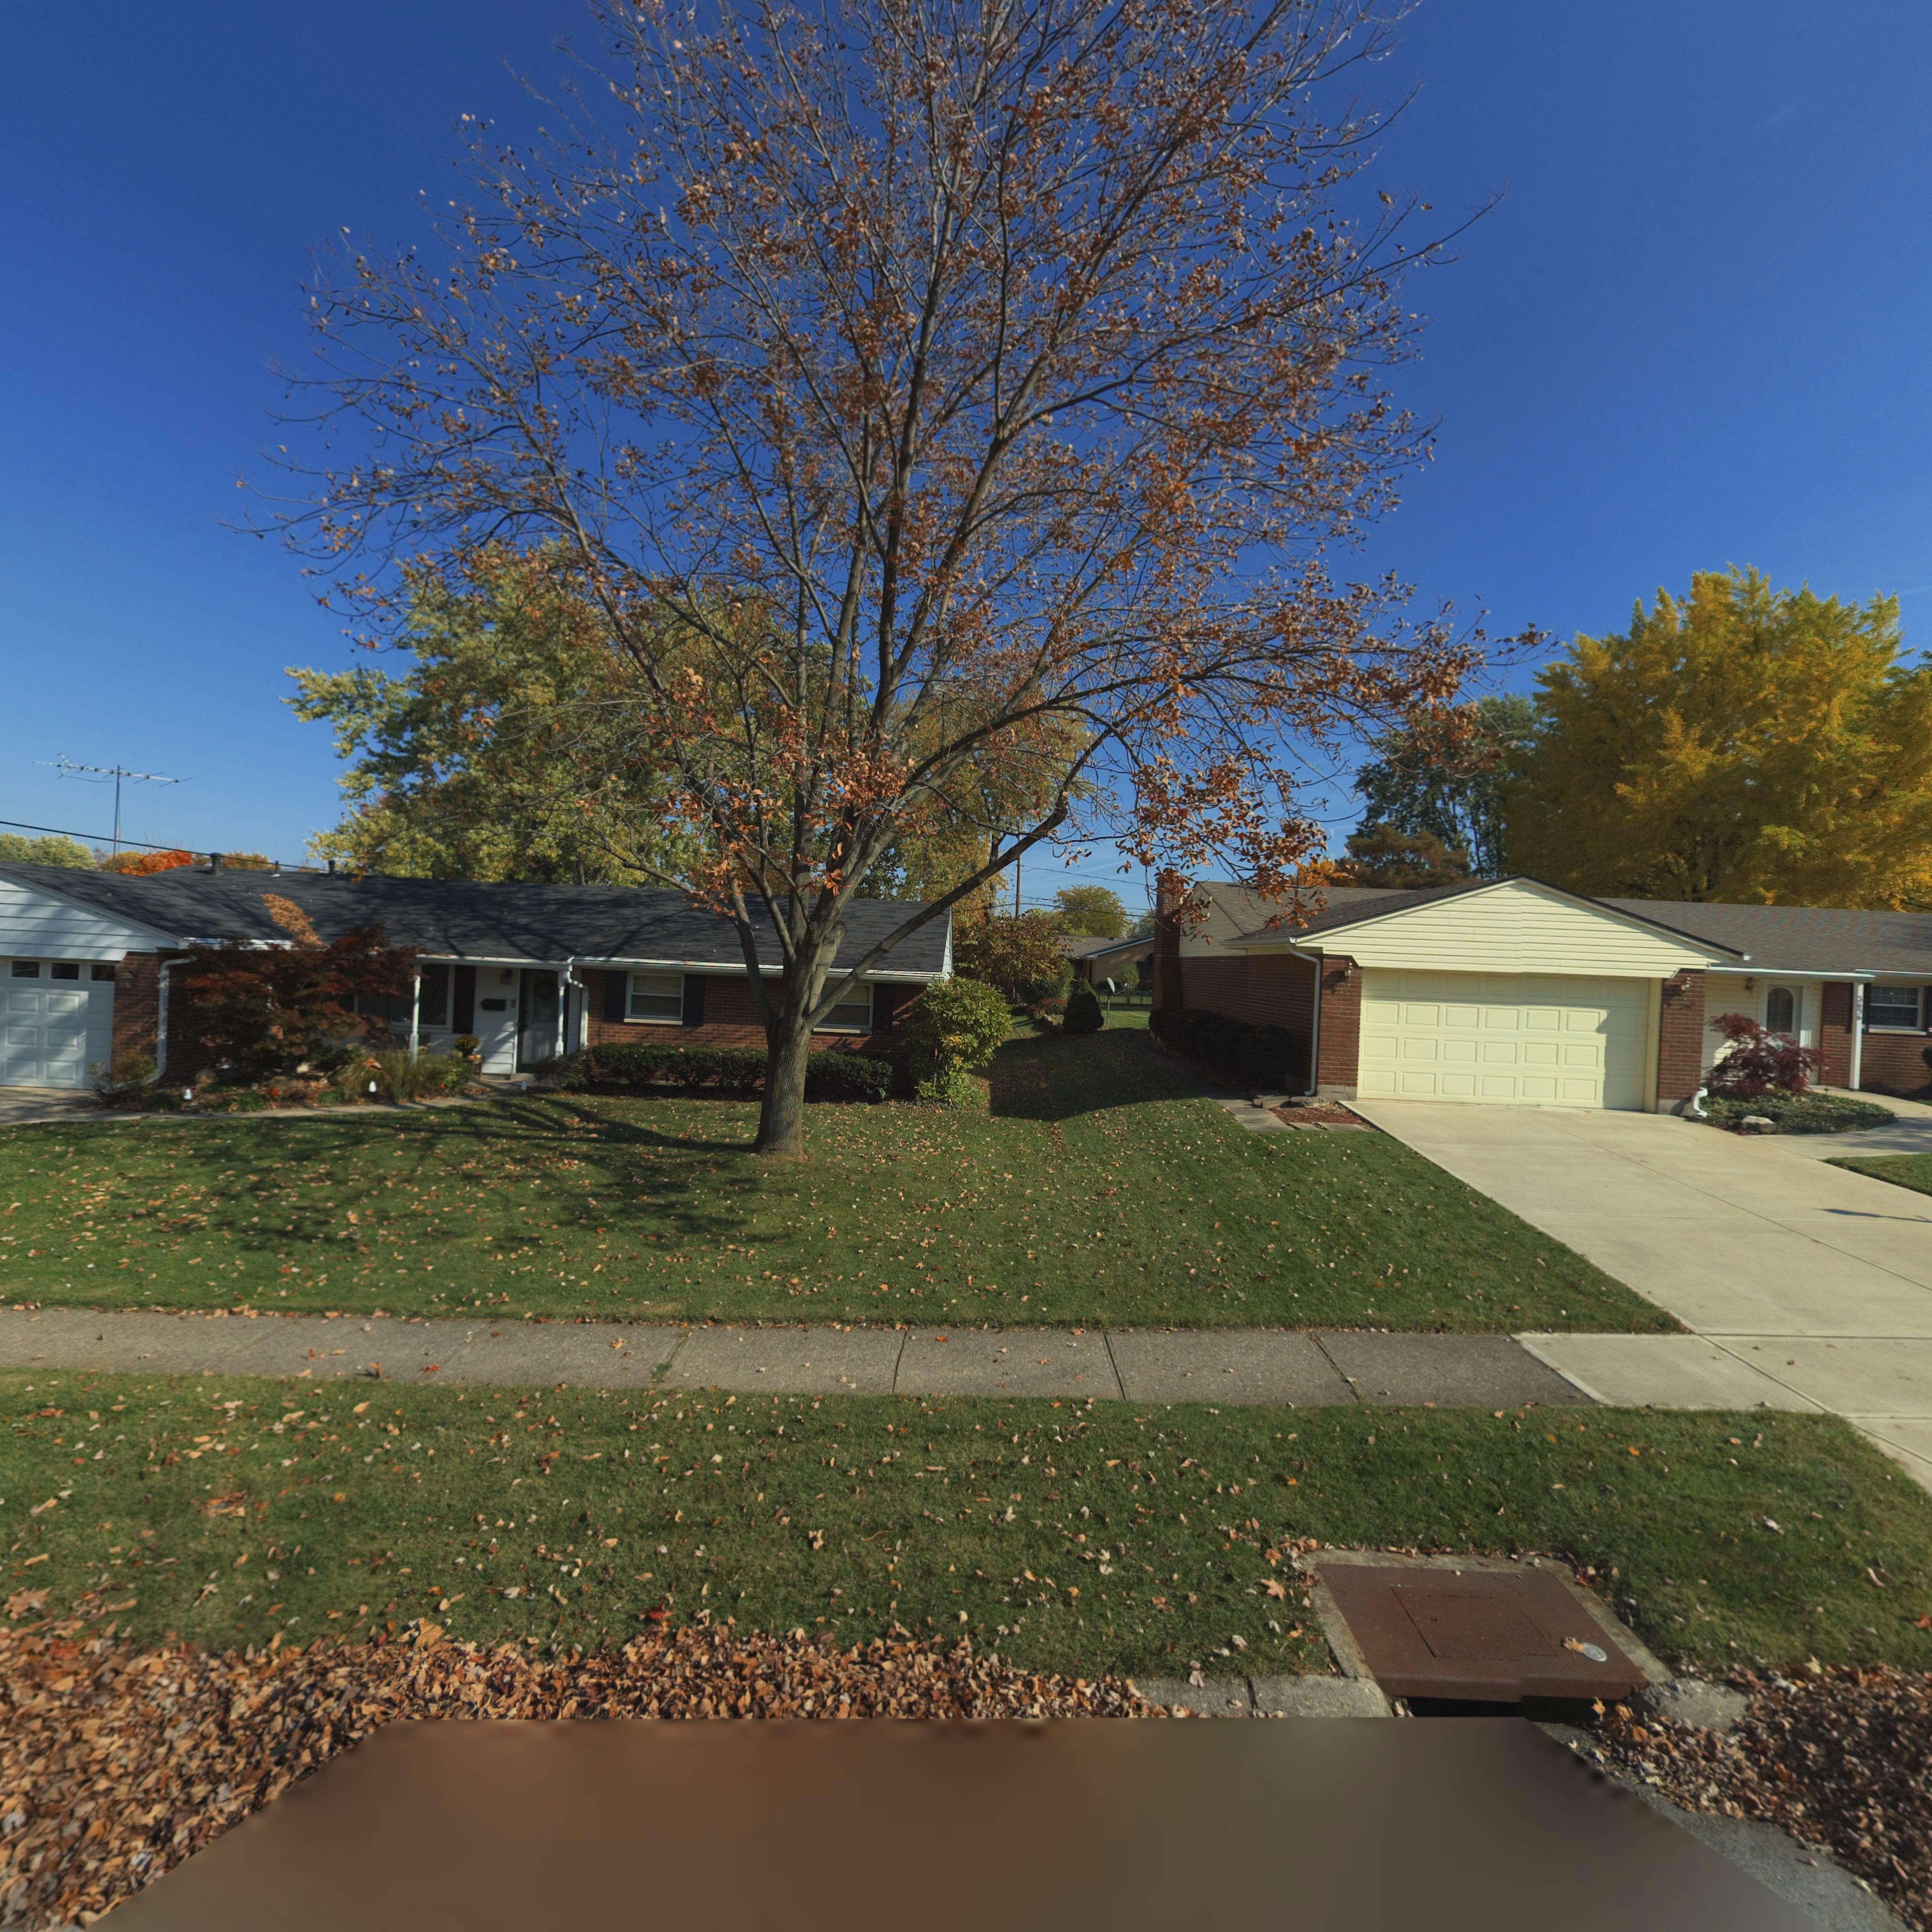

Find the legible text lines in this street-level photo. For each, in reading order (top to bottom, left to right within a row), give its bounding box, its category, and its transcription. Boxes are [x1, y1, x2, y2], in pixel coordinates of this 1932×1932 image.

[1855, 995, 1864, 1020] StreetNumber: 3**2